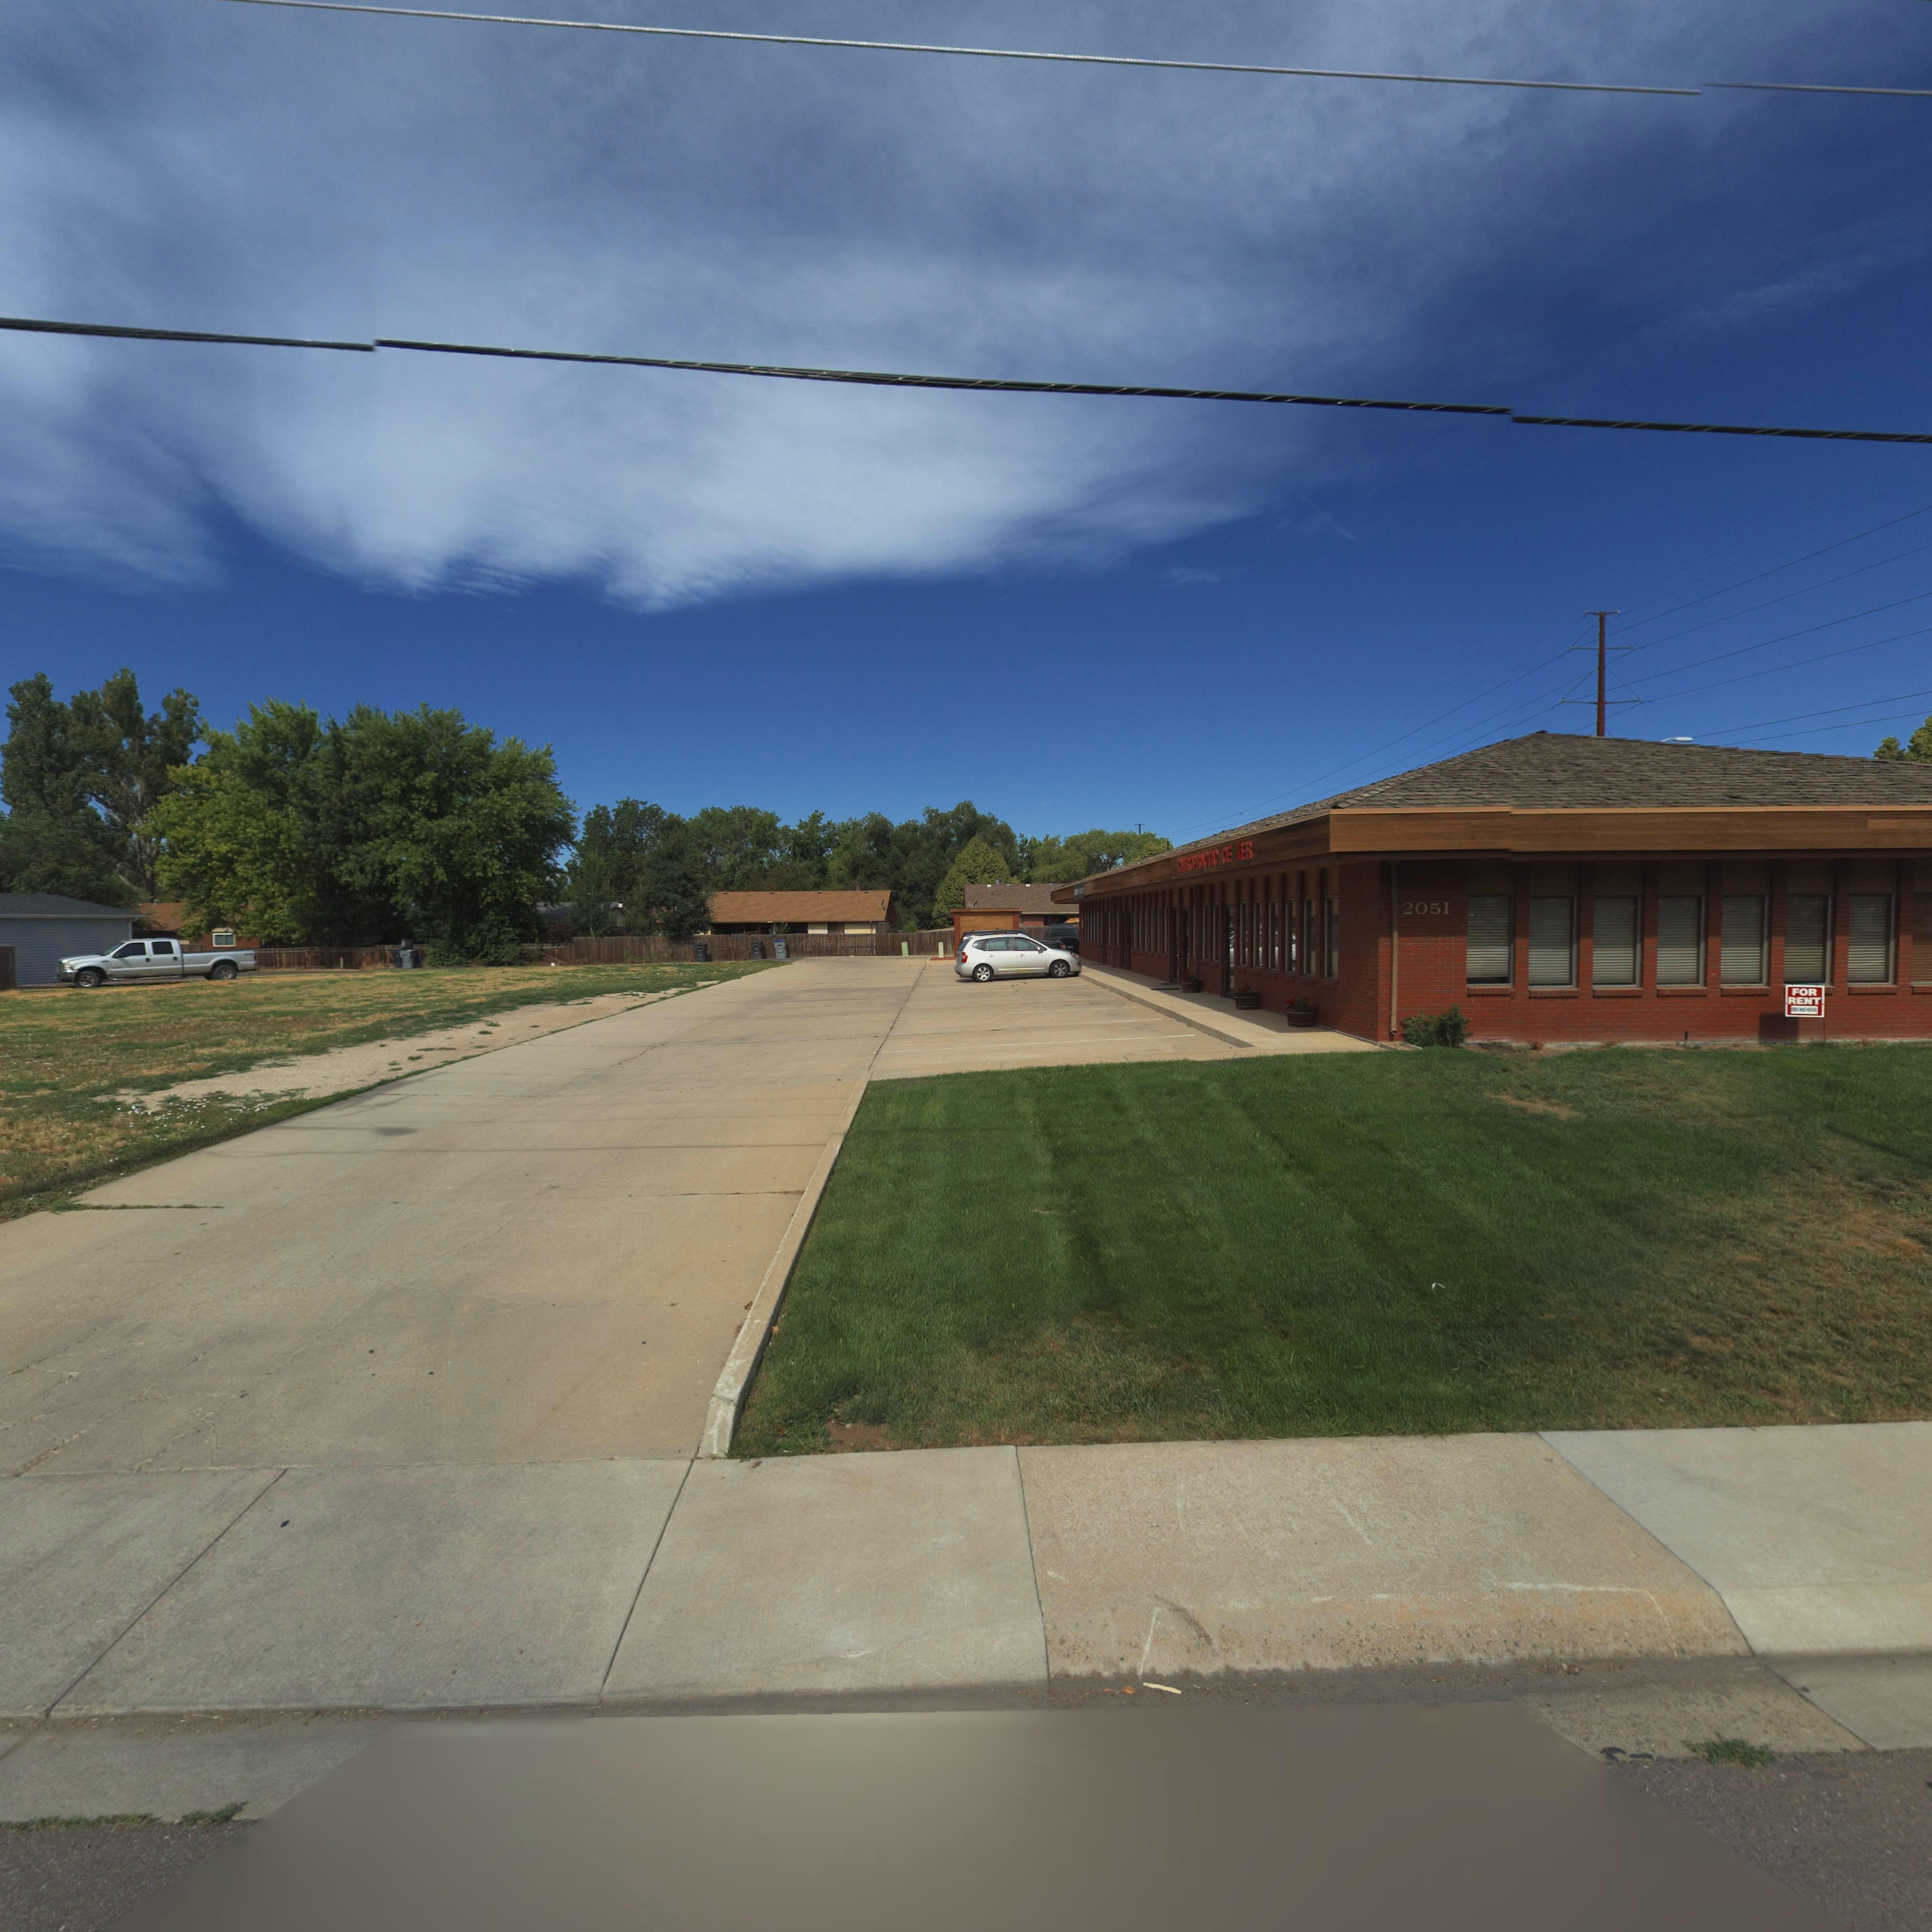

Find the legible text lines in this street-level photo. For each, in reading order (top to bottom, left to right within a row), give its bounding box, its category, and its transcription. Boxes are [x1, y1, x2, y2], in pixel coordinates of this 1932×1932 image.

[1401, 900, 1449, 915] StreetNumber: 2051